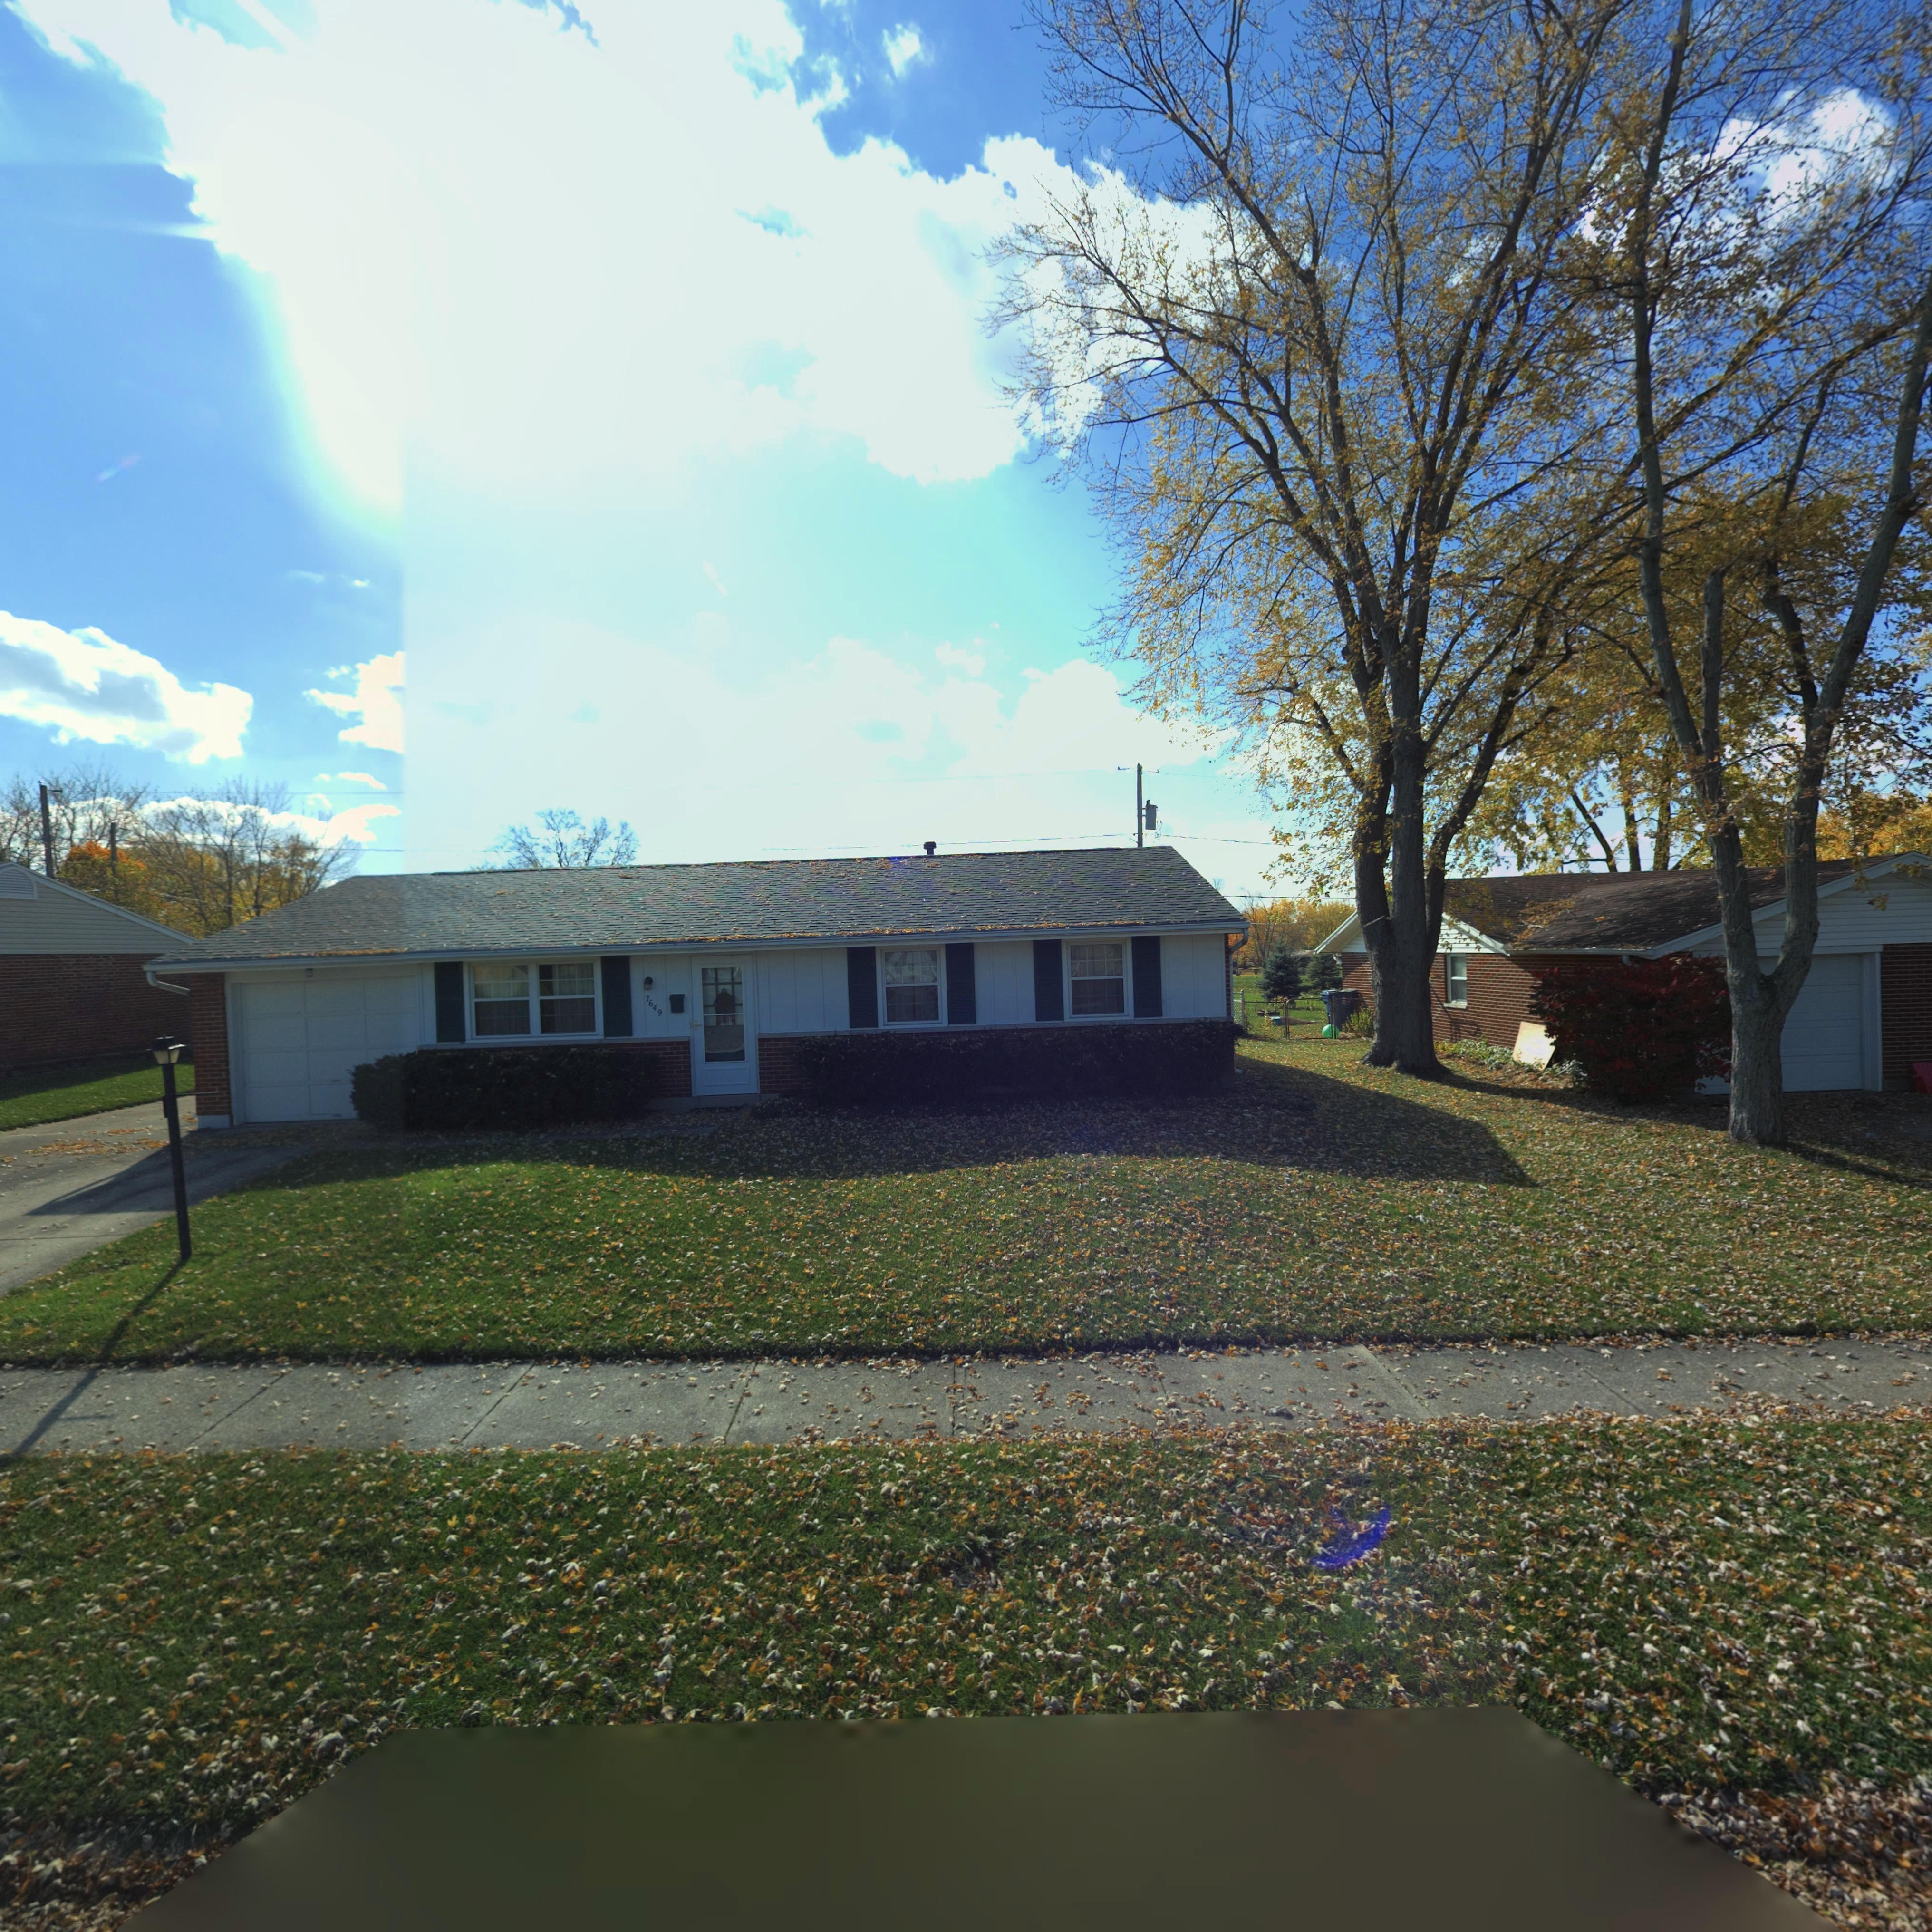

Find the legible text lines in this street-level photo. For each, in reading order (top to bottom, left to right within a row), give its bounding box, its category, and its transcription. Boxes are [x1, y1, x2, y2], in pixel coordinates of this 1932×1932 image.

[645, 995, 662, 1017] StreetNumber: 7649